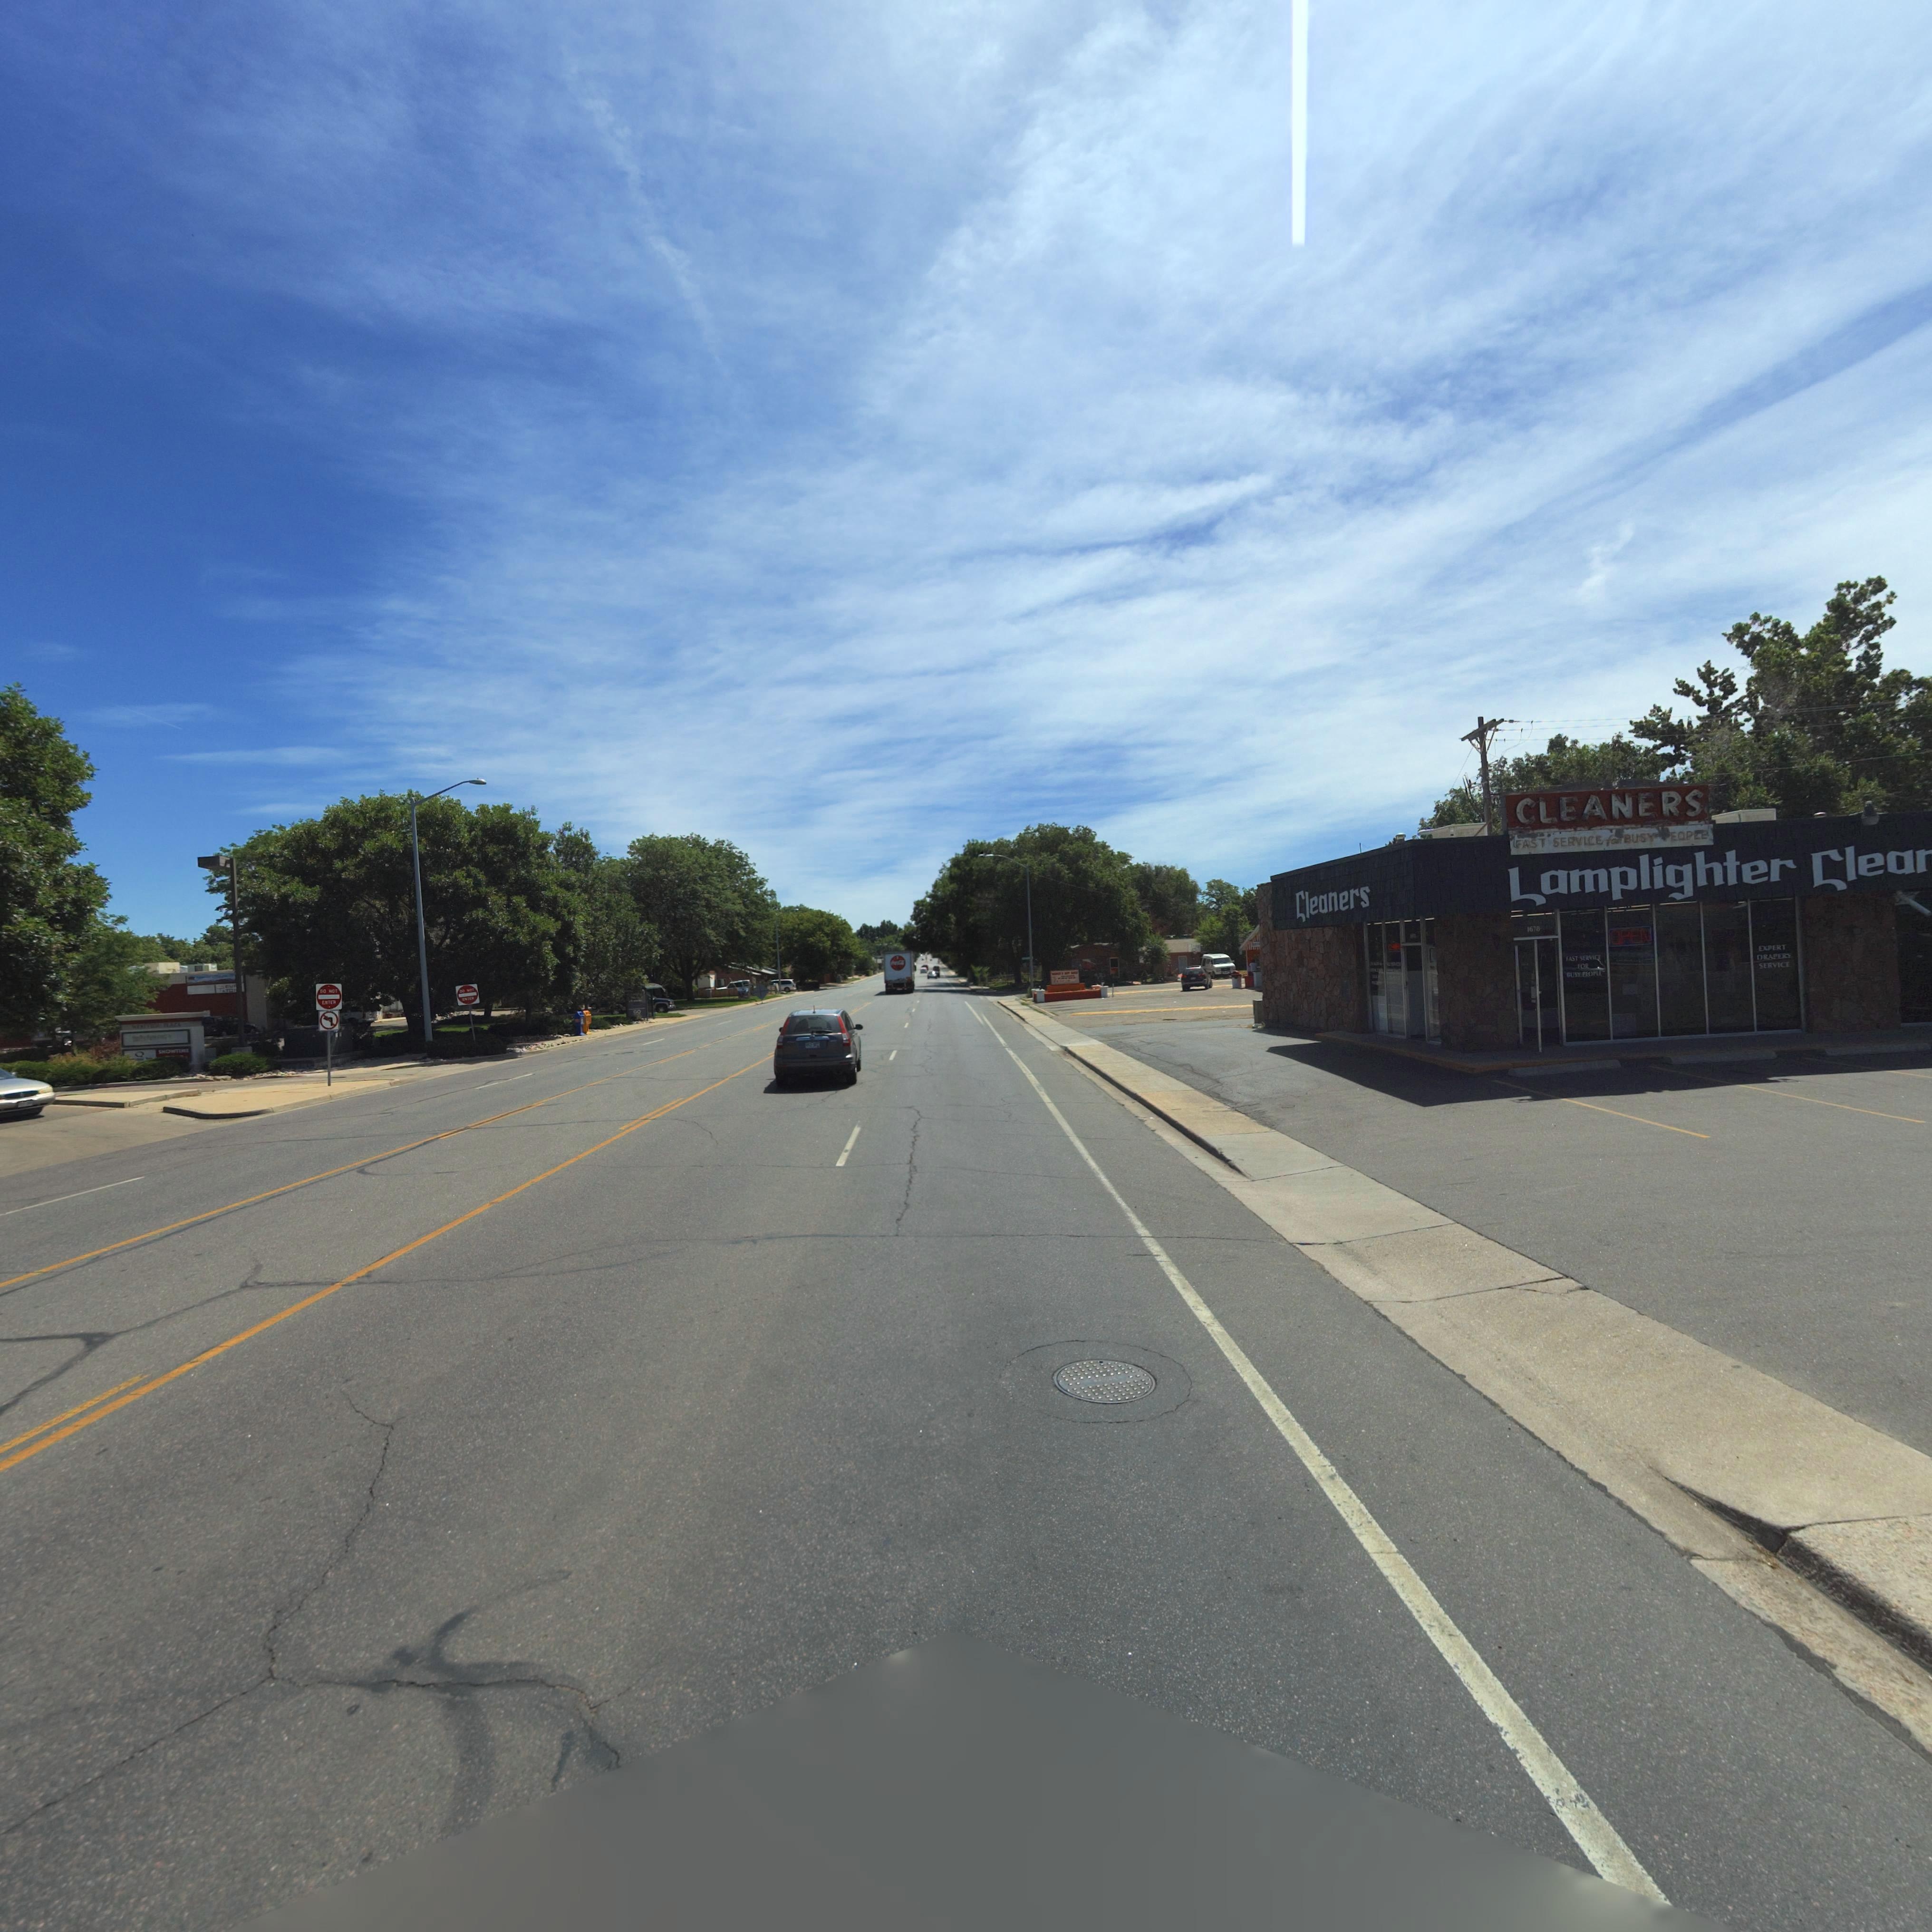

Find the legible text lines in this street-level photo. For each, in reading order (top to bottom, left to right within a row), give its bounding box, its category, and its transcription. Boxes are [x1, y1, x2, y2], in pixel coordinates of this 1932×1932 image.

[1507, 844, 1916, 907] BusinessName: Lamplighter Clea
[1526, 925, 1540, 932] StreetNumber: 1678
[1057, 976, 1076, 979] BusinessName: TACOS
[135, 1051, 145, 1057] BusinessName: Q